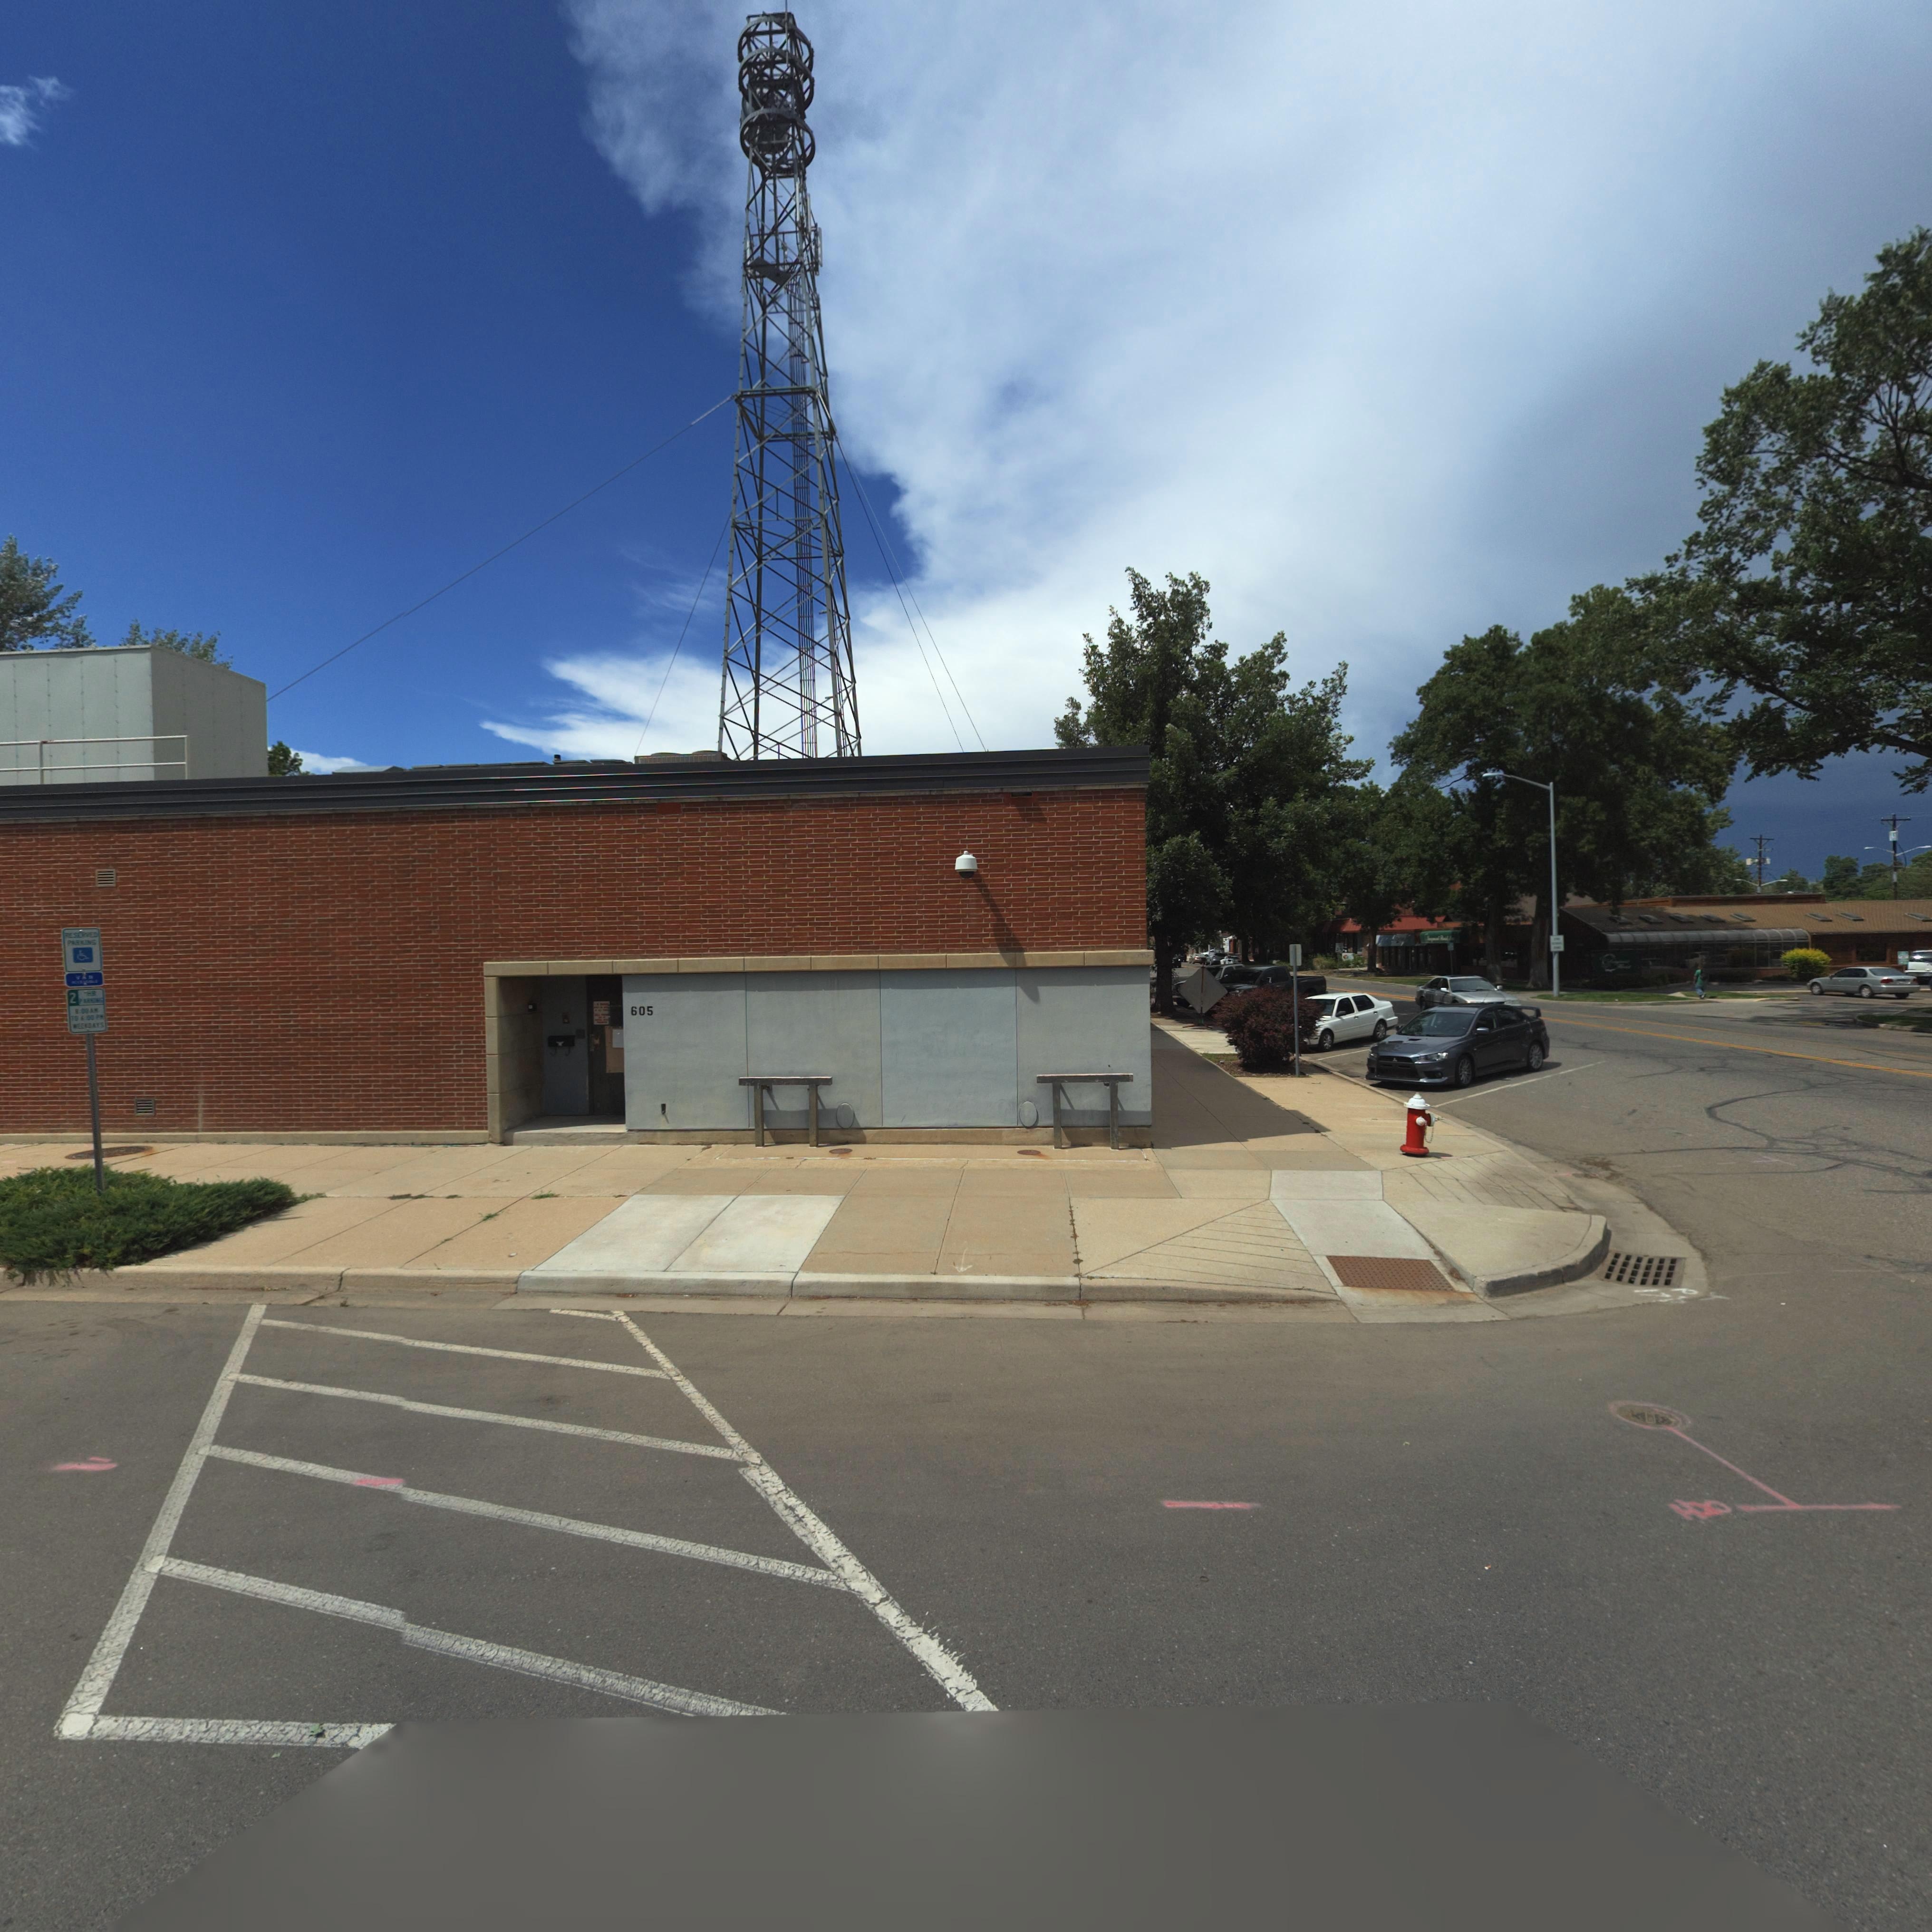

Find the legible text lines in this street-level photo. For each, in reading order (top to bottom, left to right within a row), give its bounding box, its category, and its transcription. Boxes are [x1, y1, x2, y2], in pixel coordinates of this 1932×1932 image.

[630, 1005, 654, 1016] StreetNumber: 605